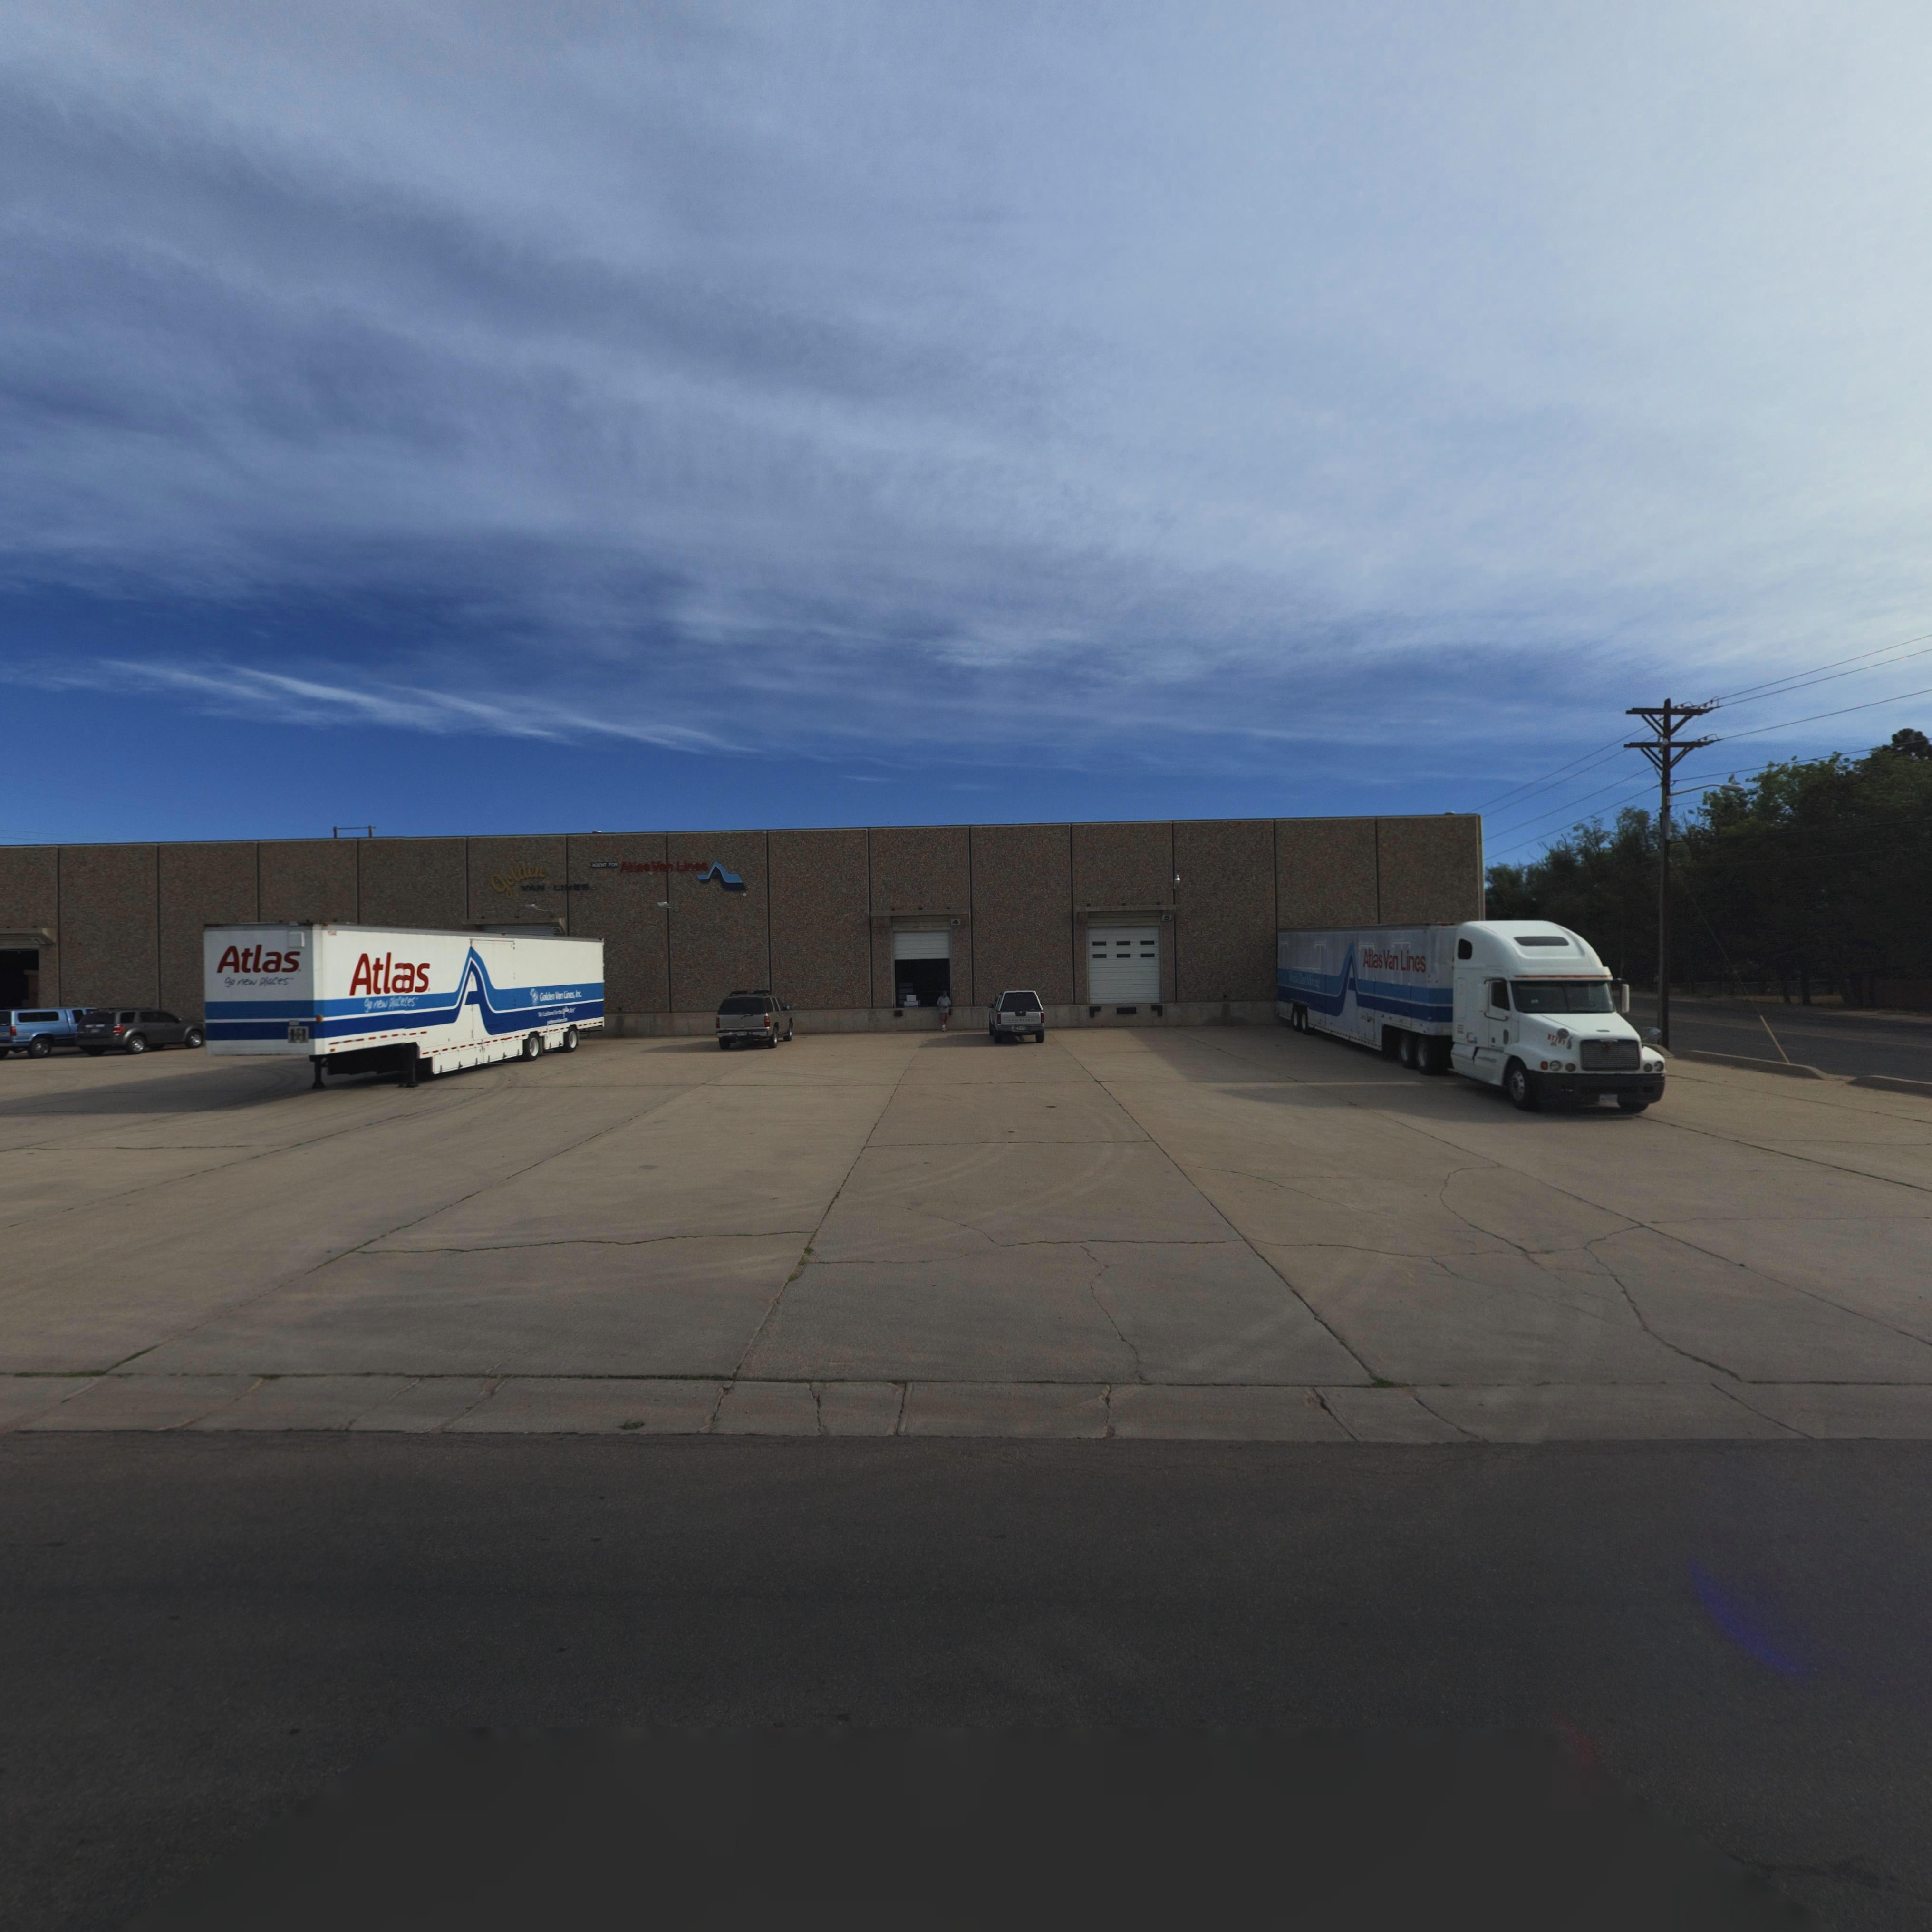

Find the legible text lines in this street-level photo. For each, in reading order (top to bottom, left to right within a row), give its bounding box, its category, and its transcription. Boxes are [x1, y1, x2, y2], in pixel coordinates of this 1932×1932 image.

[489, 860, 548, 899] BusinessName: golden
[520, 883, 589, 891] BusinessName: VAN LI*ES